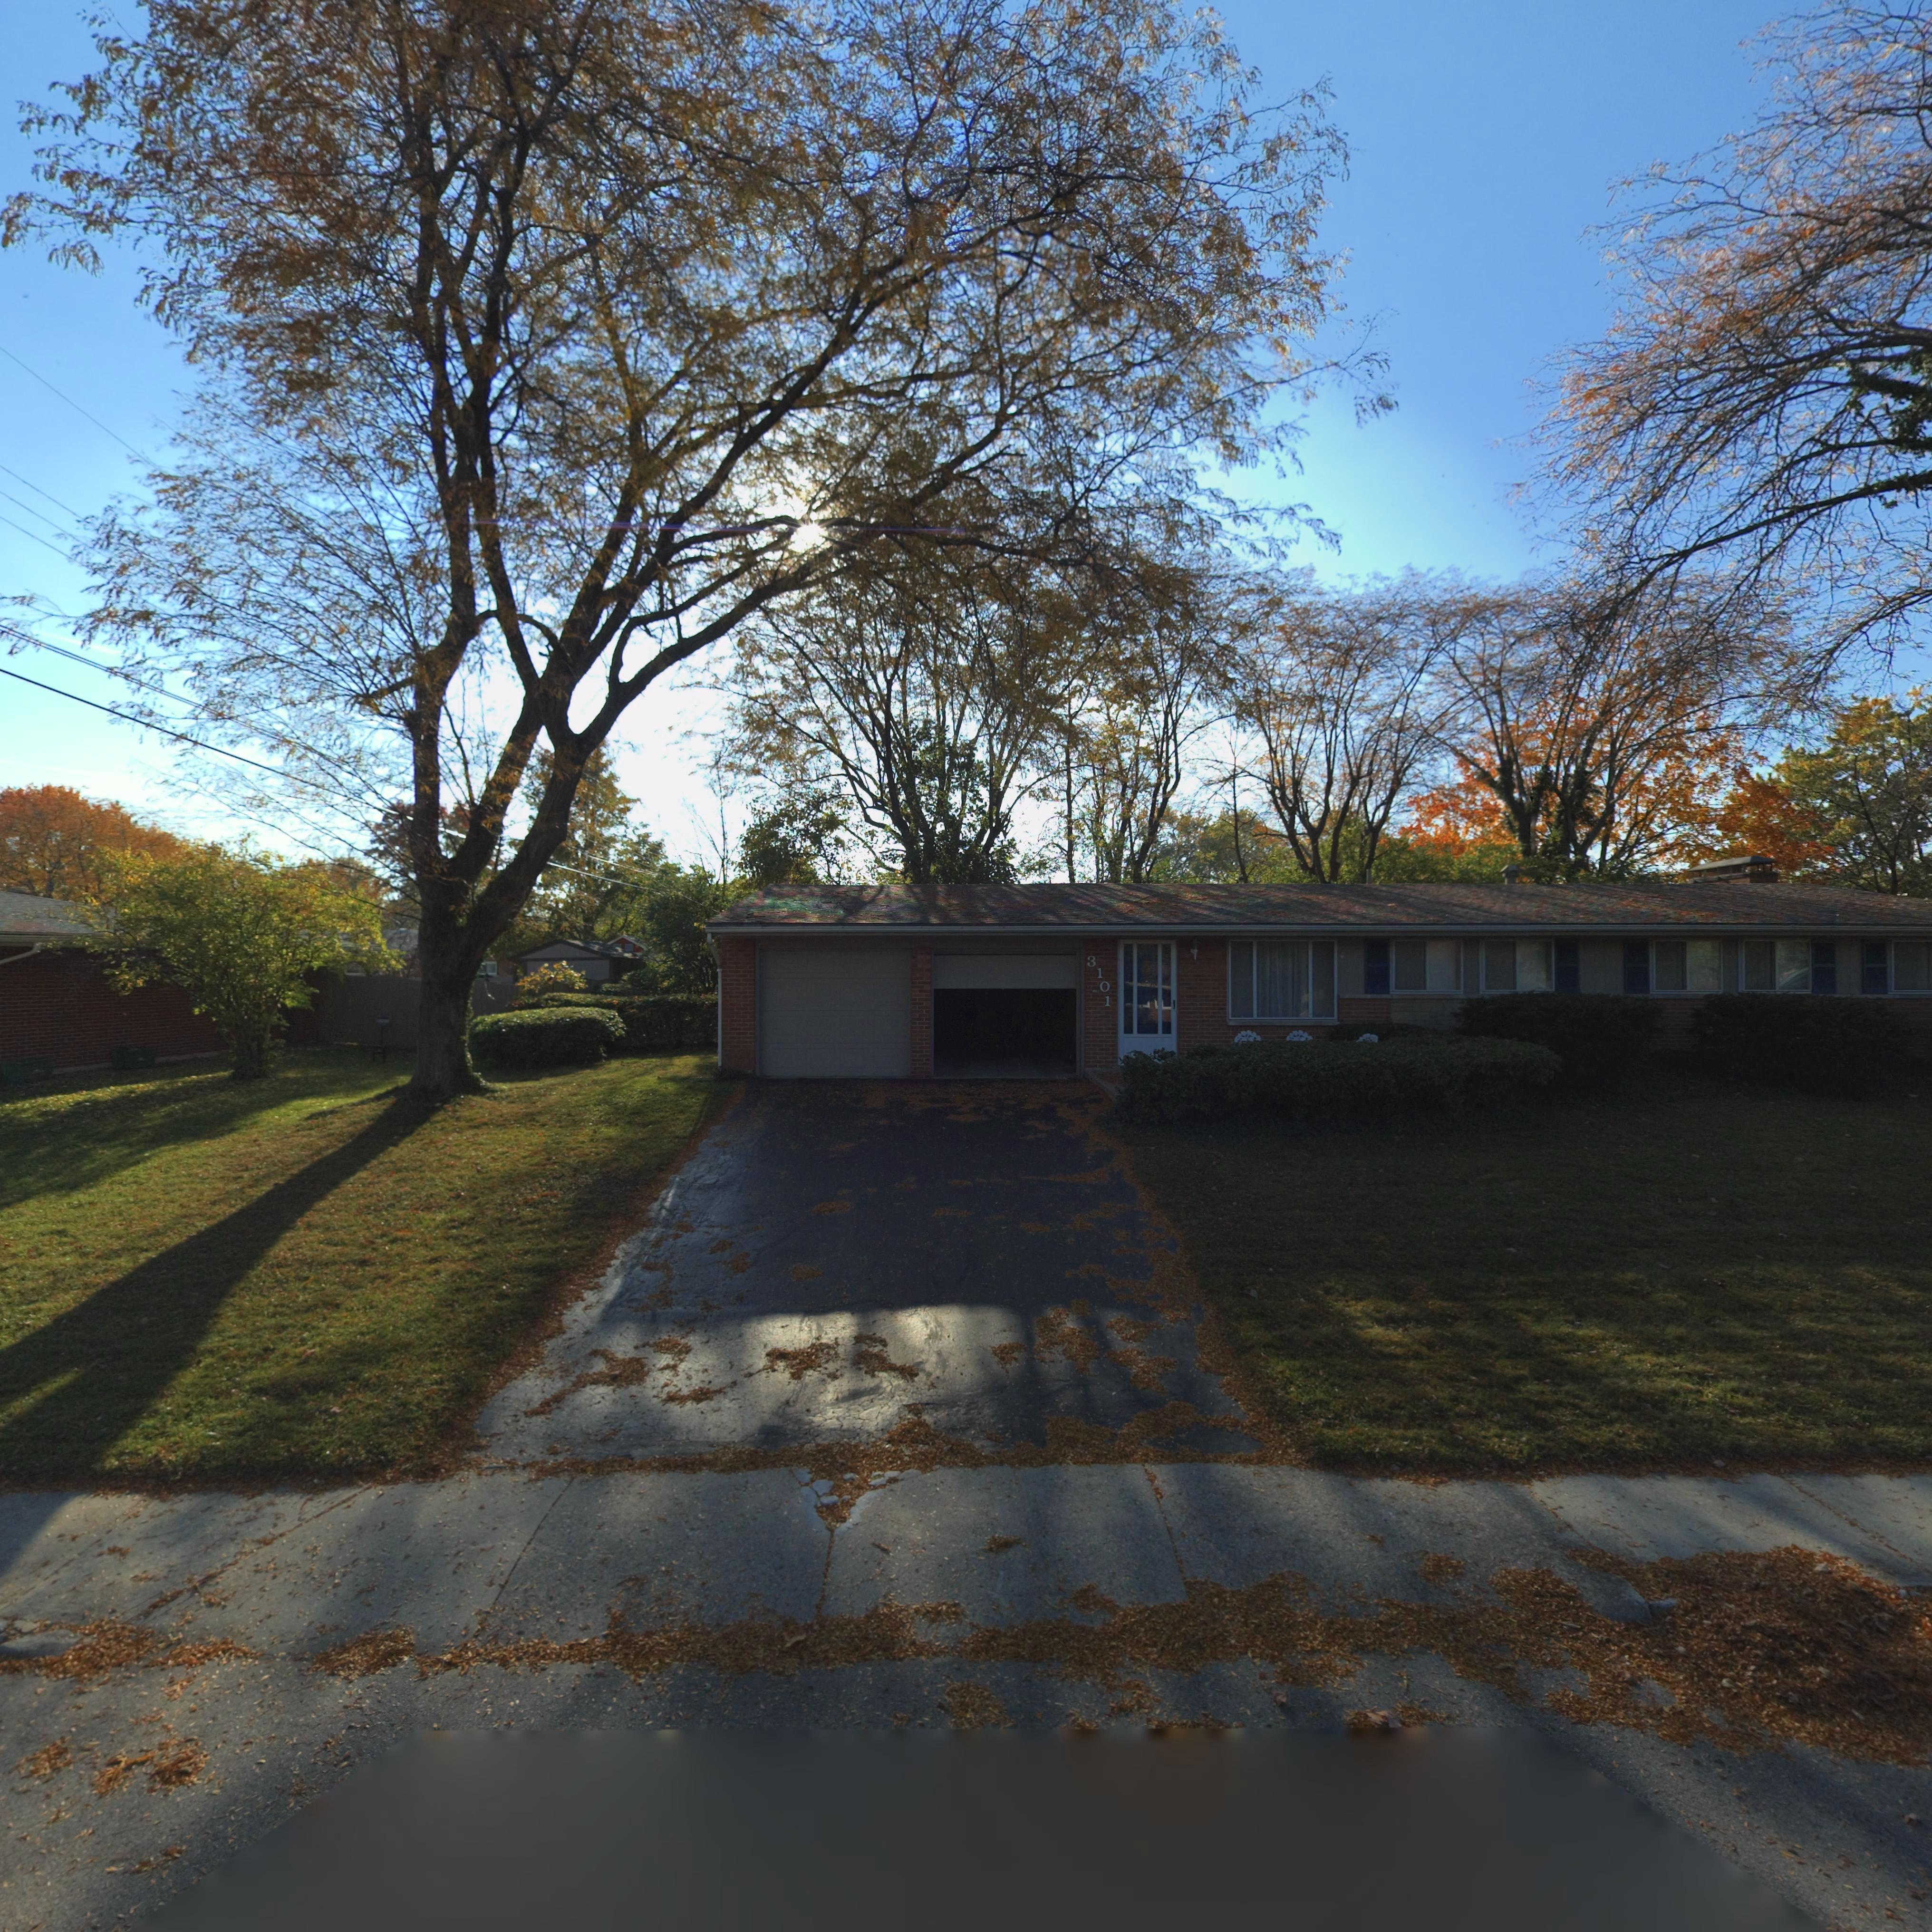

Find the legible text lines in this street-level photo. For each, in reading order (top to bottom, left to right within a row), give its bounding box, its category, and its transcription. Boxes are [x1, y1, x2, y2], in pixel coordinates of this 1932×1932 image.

[1086, 955, 1111, 1007] StreetNumber: 3101